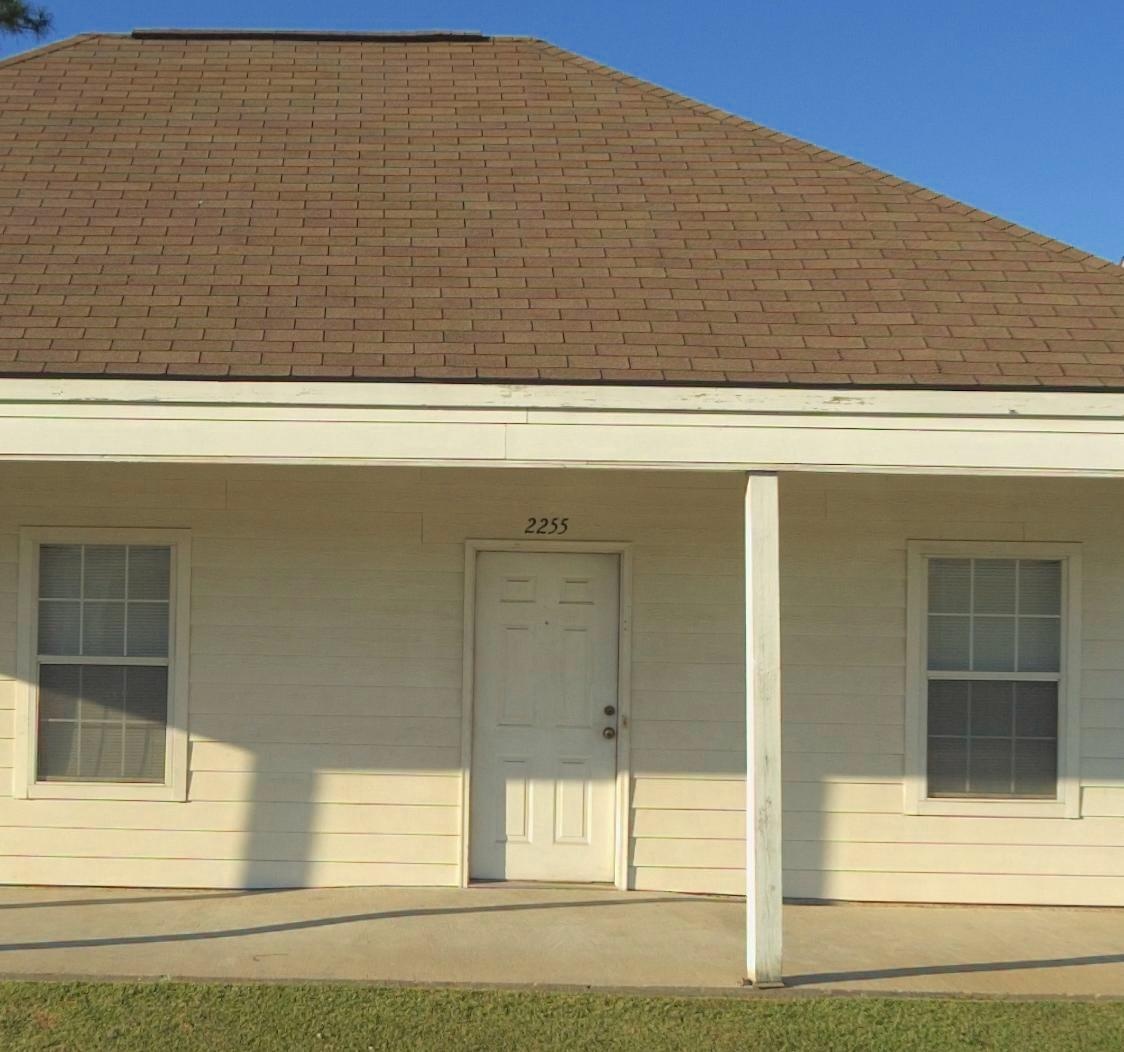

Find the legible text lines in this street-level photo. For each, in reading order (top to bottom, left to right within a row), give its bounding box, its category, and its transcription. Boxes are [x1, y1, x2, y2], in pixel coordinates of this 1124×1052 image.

[522, 515, 571, 536] StreetNumber: 2255